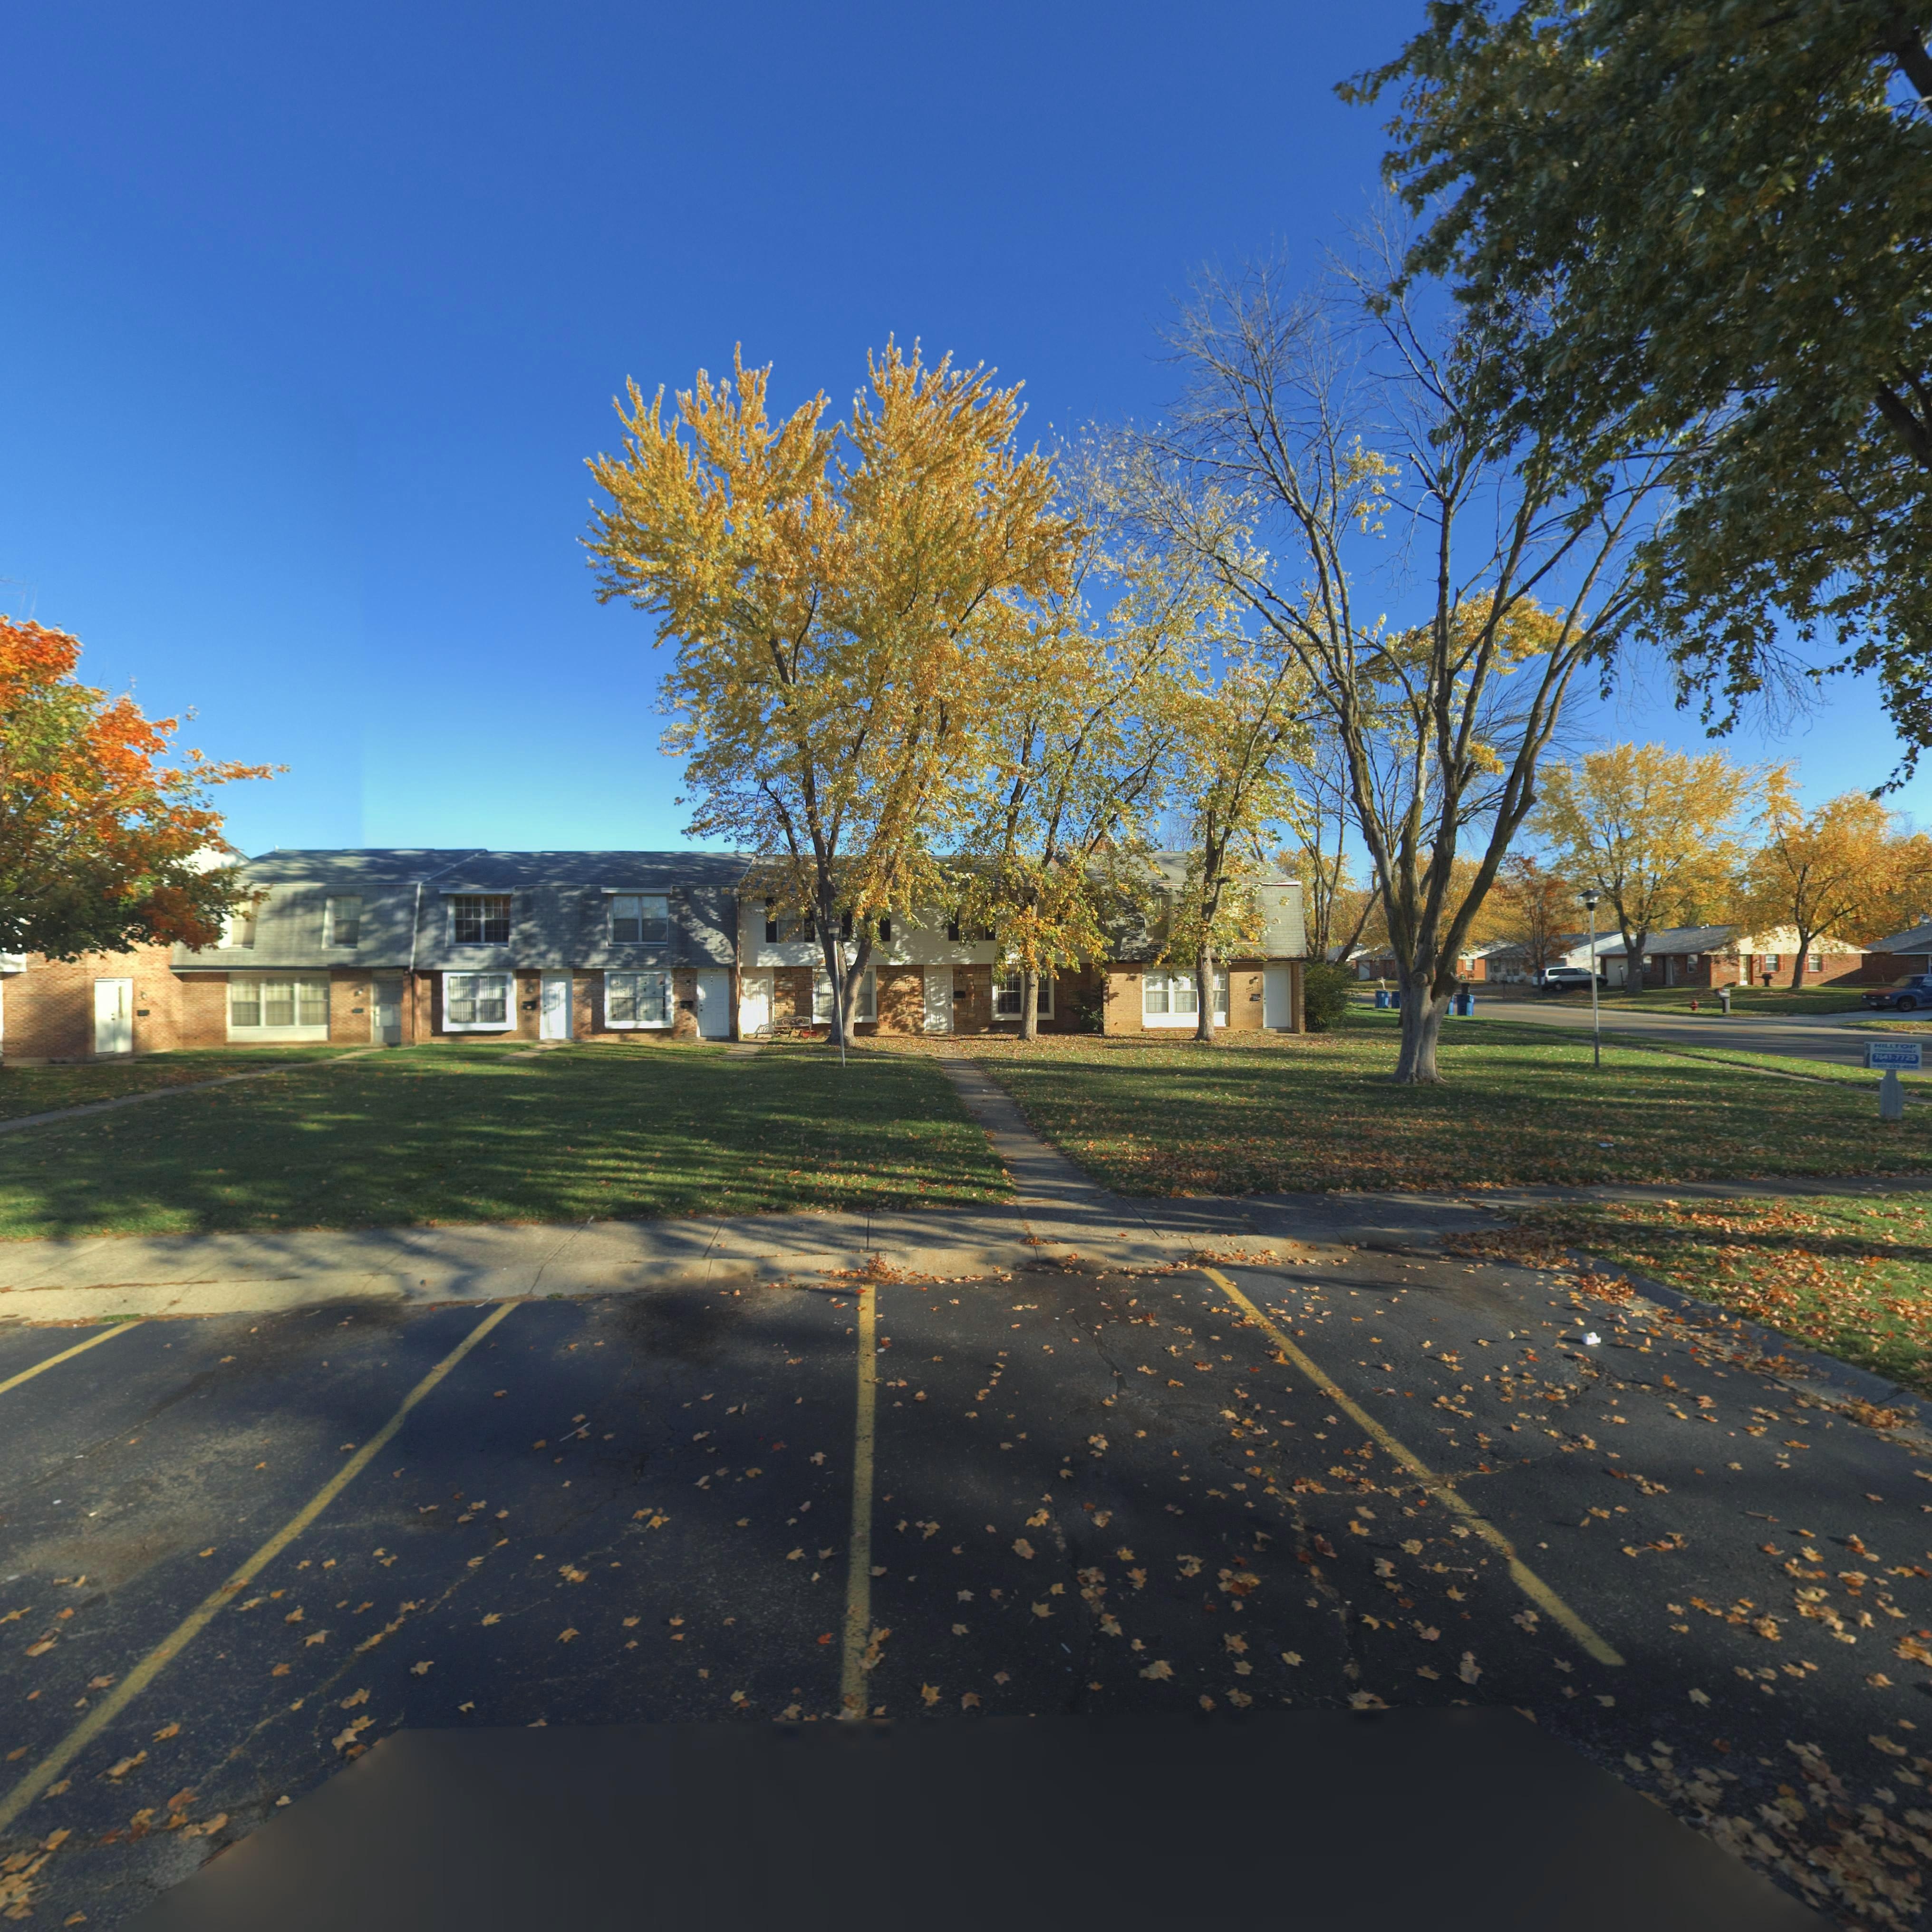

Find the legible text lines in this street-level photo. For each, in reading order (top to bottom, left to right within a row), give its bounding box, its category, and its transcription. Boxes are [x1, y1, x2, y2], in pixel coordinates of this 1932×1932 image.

[1271, 963, 1281, 967] StreetNumber: 7*2*
[709, 968, 719, 973] StreetNumber: 772*
[753, 967, 763, 972] StreetNumber: 77**
[934, 965, 944, 970] StreetNumber: 772*